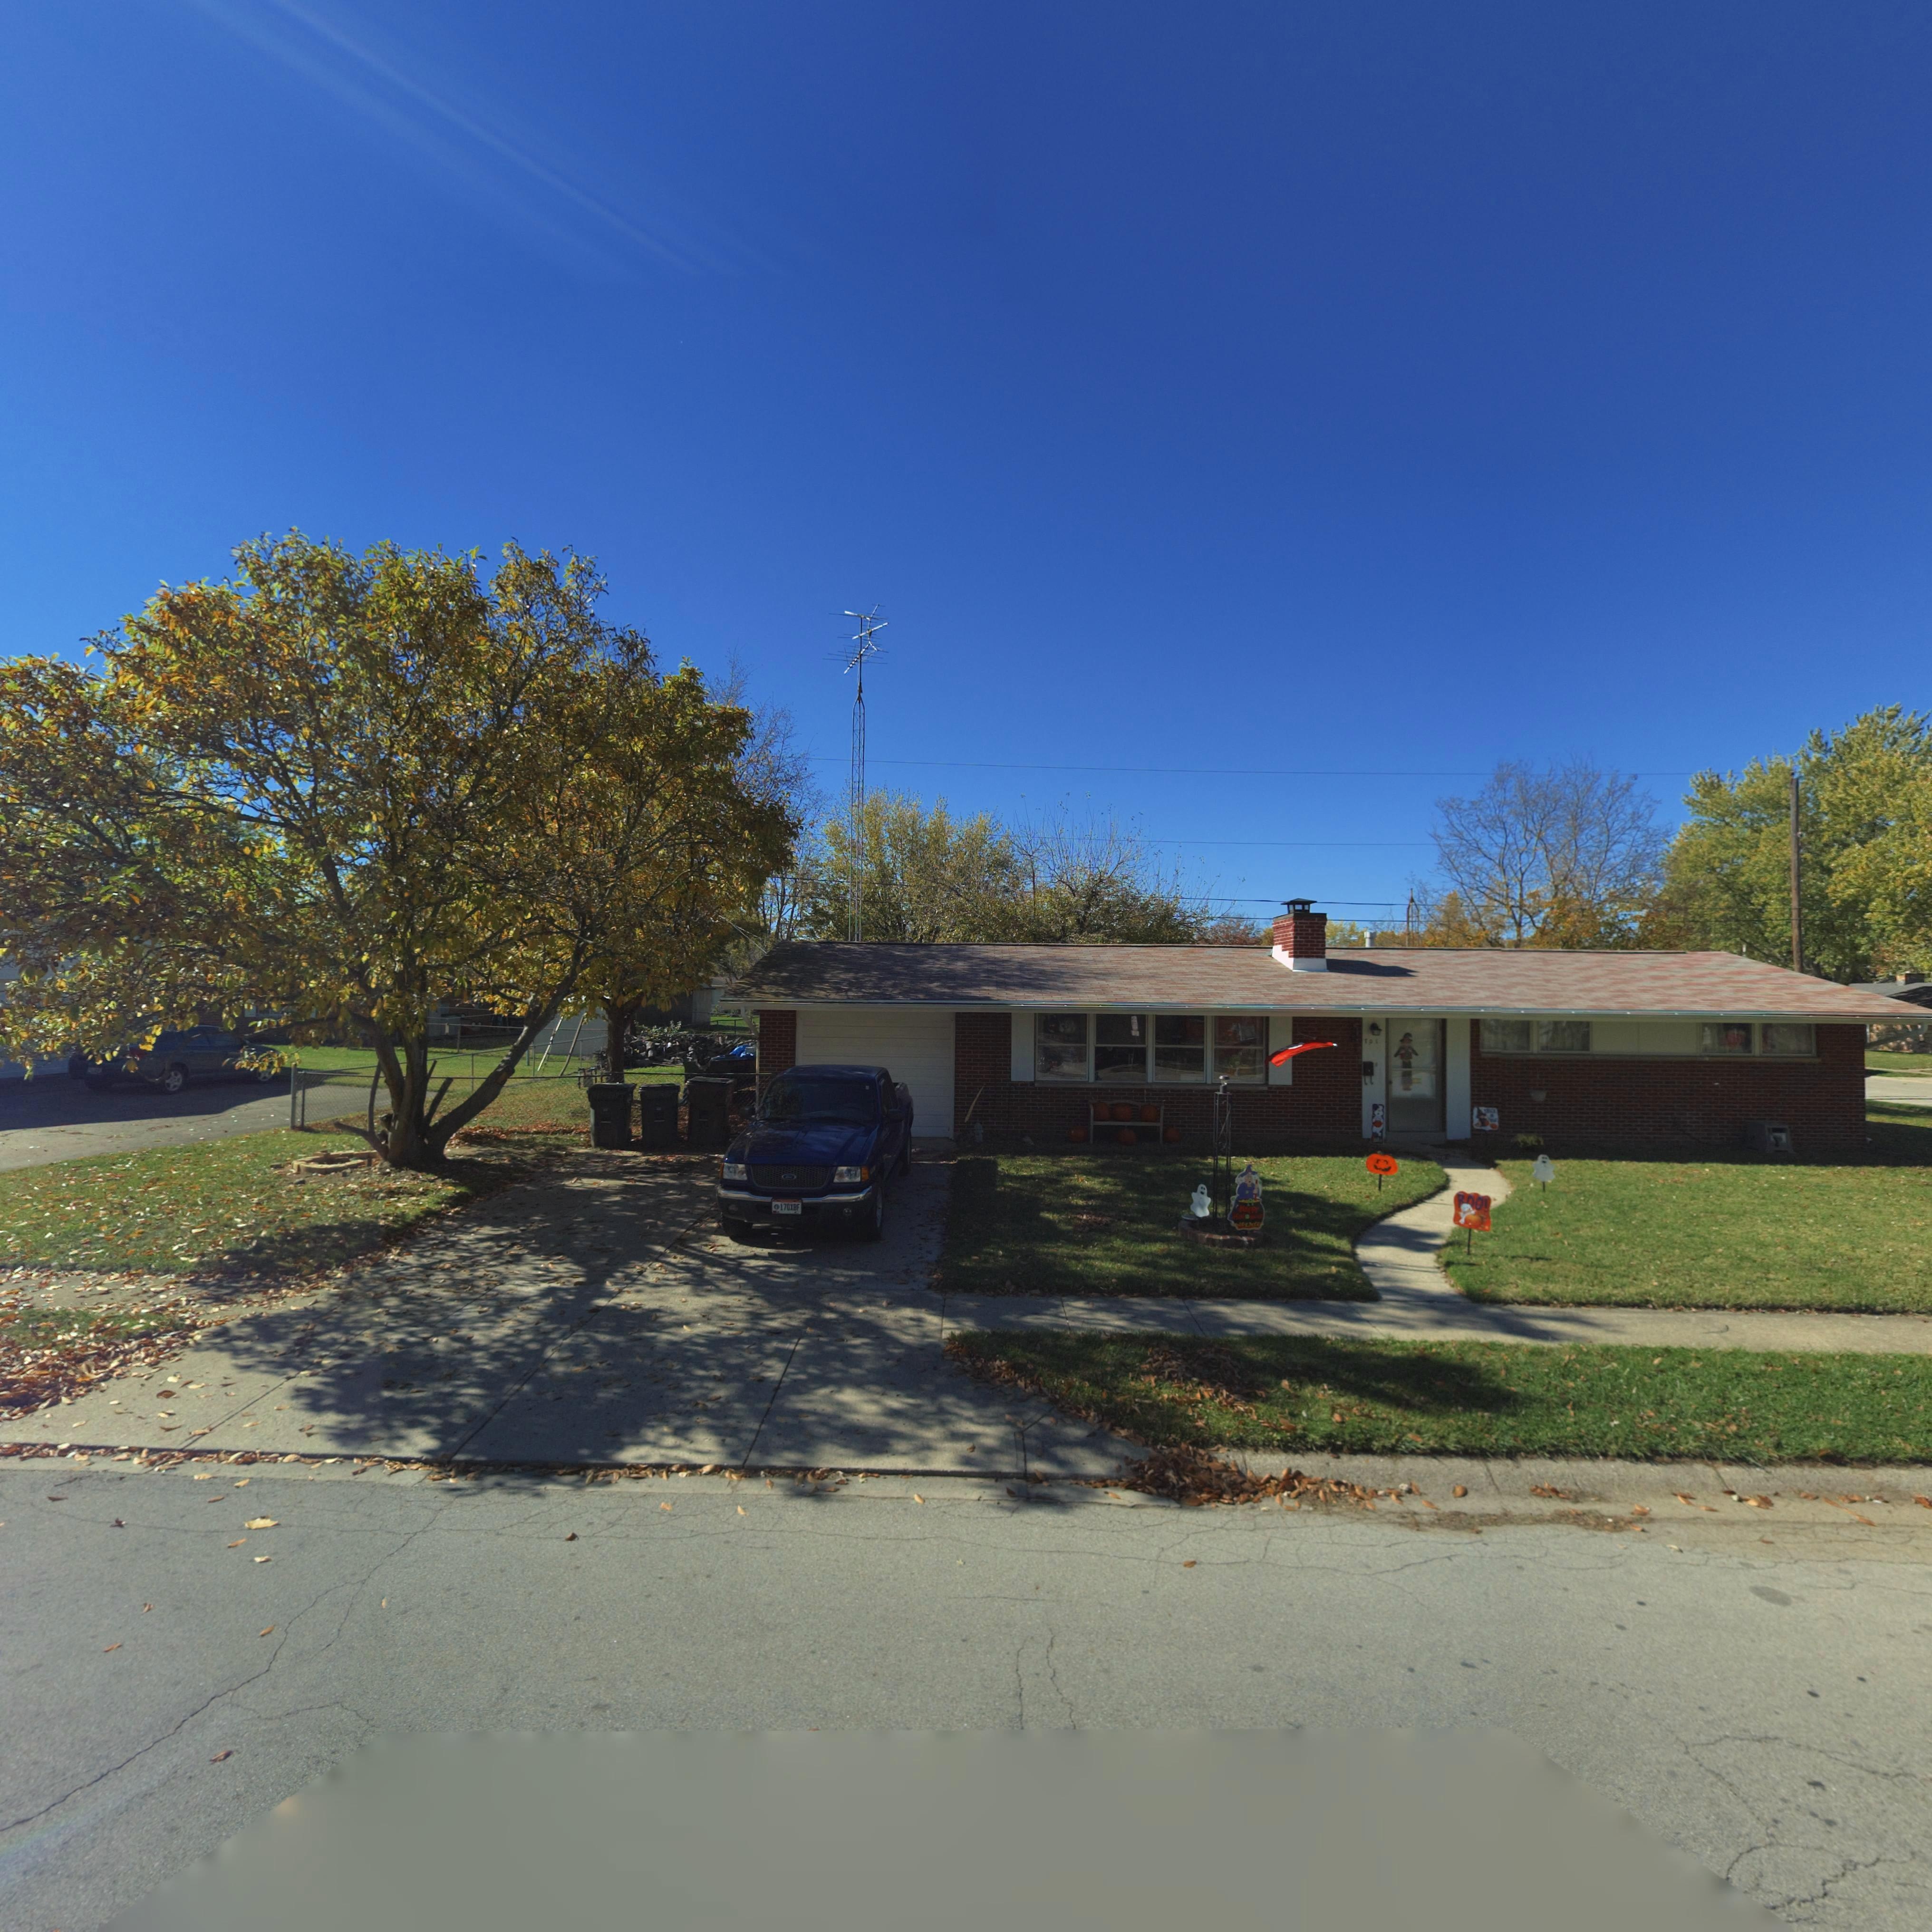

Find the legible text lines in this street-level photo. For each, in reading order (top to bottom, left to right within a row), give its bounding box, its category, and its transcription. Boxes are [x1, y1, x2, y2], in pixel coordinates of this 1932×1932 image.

[1363, 1037, 1379, 1045] StreetNumber: 701
[780, 1203, 800, 1211] None: 170XBF
[1238, 1204, 1260, 1214] None: HAPPY
[1474, 1194, 1484, 1211] None: O